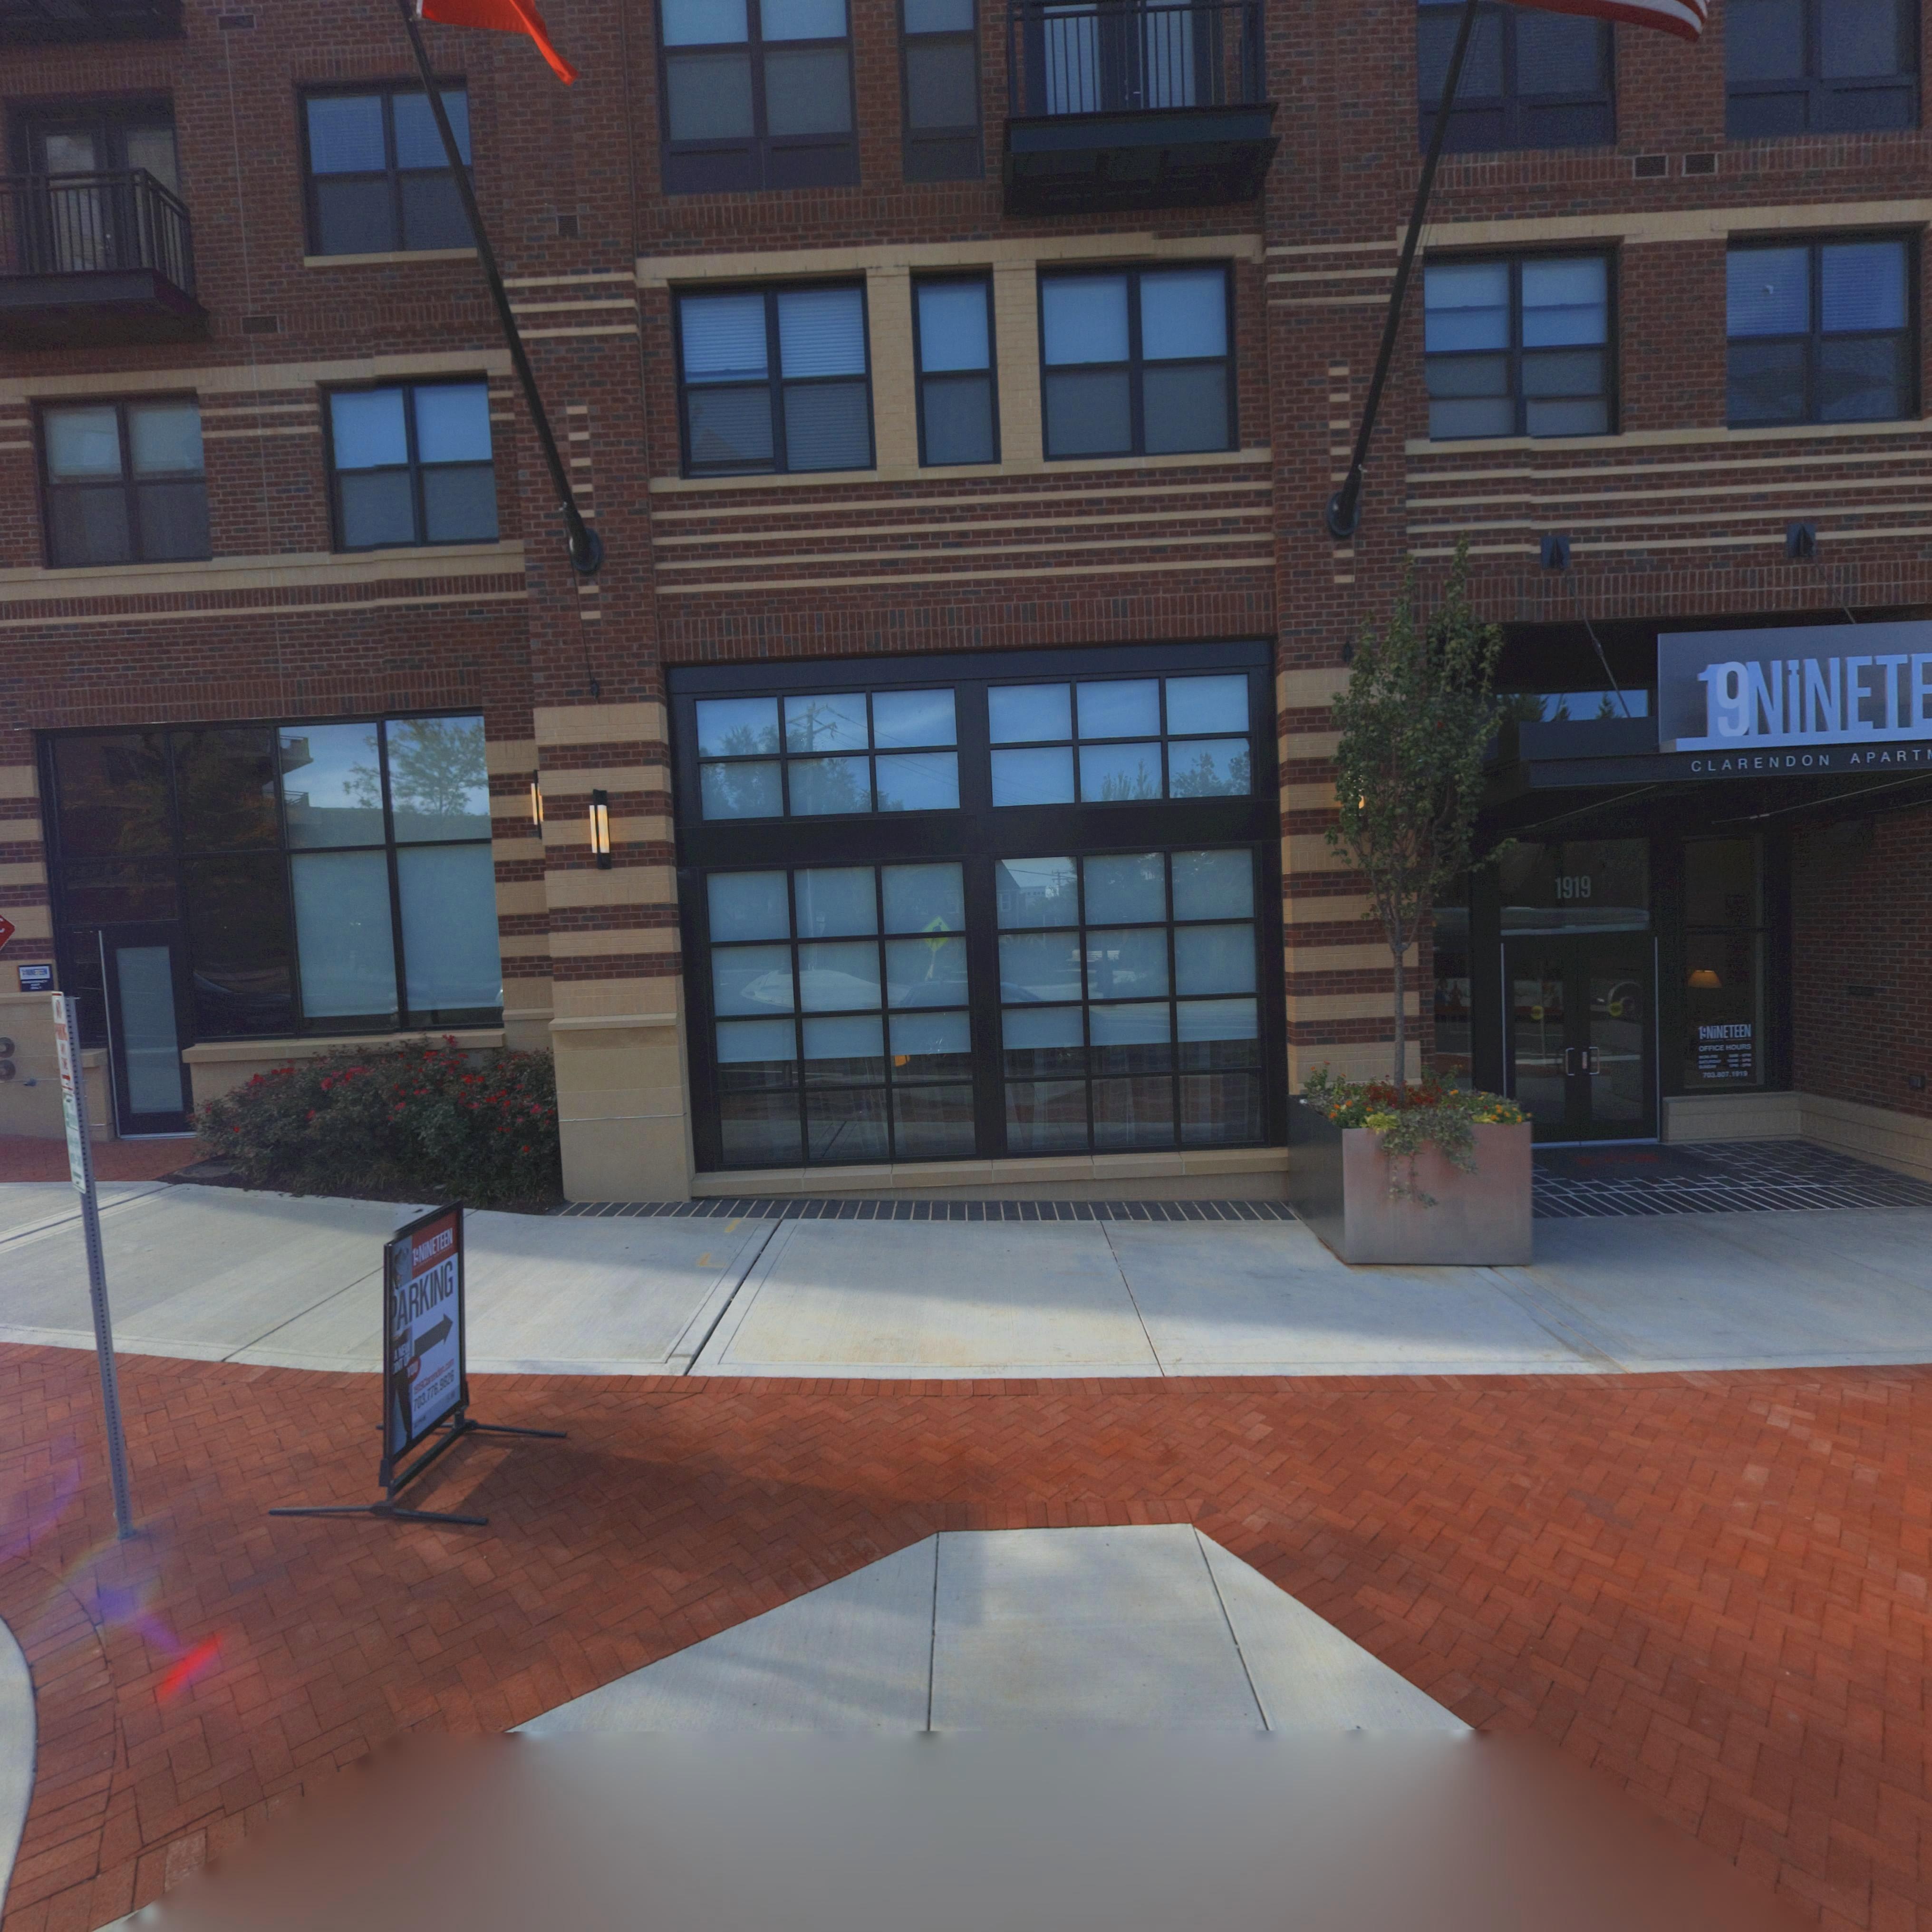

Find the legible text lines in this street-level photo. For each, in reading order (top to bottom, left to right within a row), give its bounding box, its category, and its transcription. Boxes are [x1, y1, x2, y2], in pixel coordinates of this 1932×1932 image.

[1742, 650, 1917, 739] None: NiNET
[1689, 748, 1923, 774] None: CLARENDON APART
[1553, 873, 1593, 901] None: 1919
[1705, 1022, 1753, 1041] None: NiNETEEN
[1697, 1042, 1753, 1053] None: OFFICE HOURS
[417, 1226, 454, 1264] None: NiNETEEN
[395, 1259, 455, 1333] None: ARKING
[392, 1338, 410, 1363] None: A NEW
[412, 1368, 456, 1413] None: 703.776.9826